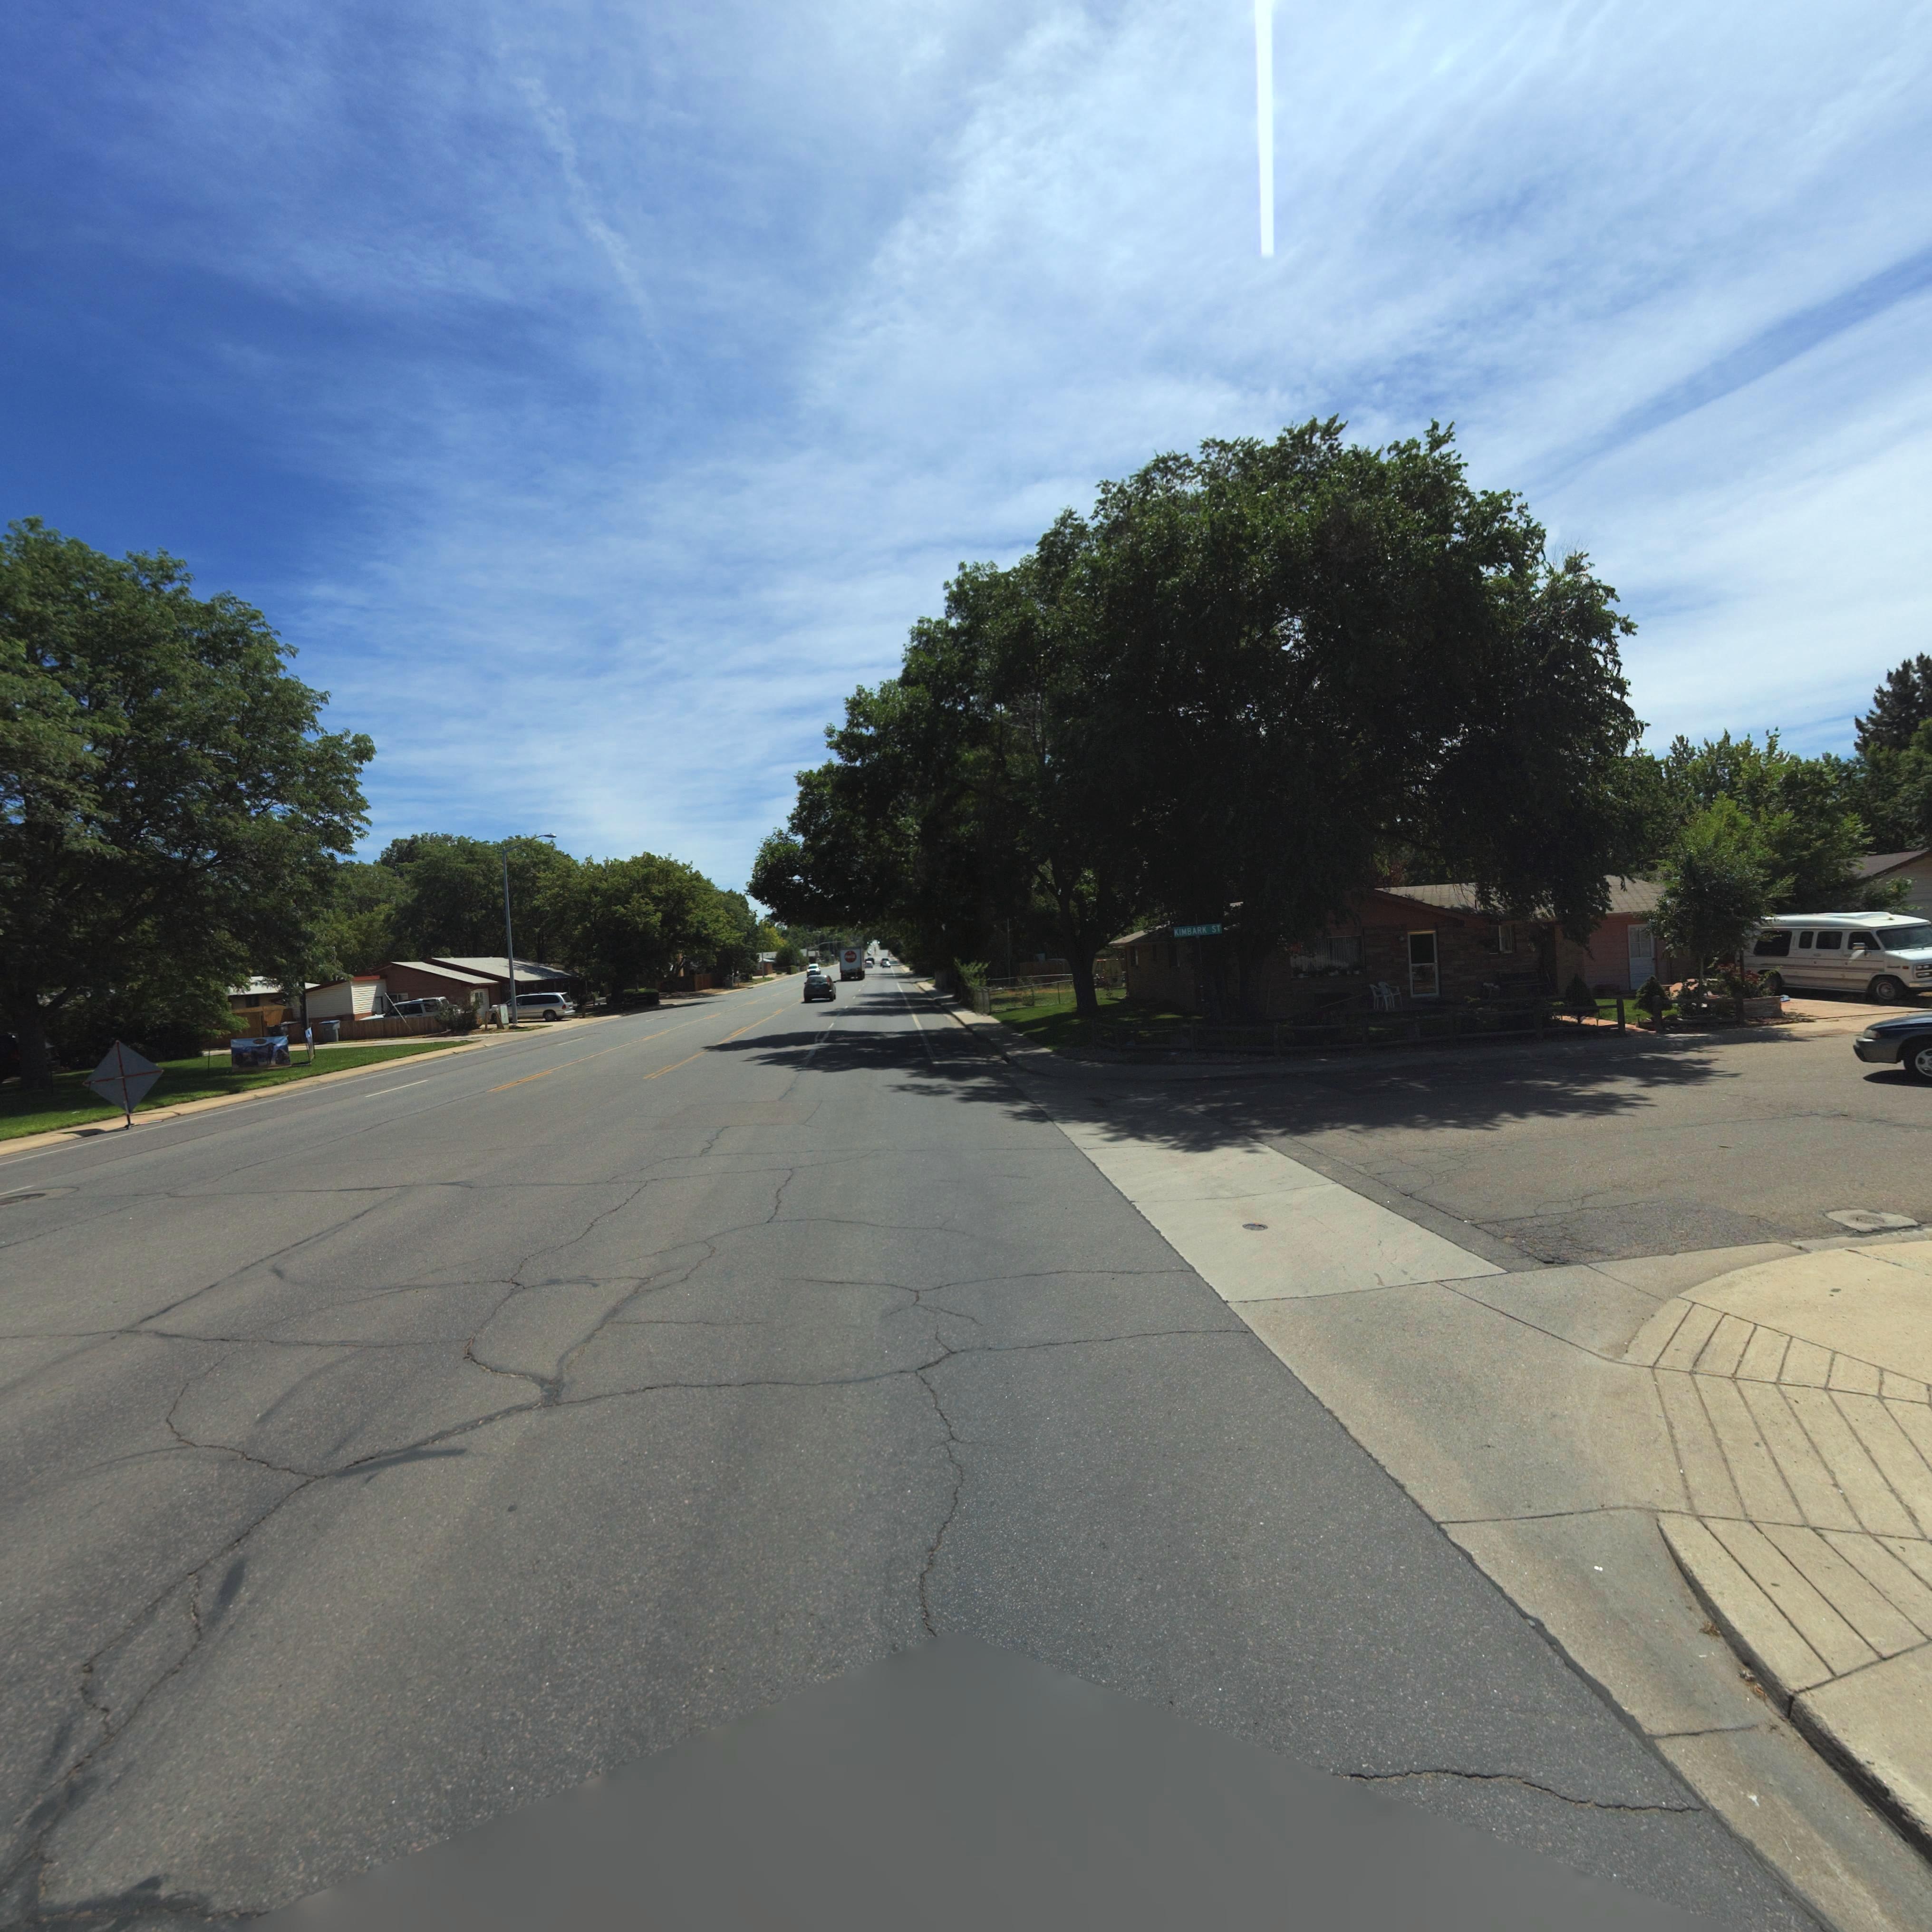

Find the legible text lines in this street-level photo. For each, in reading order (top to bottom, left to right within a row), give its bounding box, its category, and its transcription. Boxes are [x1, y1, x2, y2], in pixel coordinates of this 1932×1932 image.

[1173, 924, 1221, 937] StreetName: KIMBARK ST